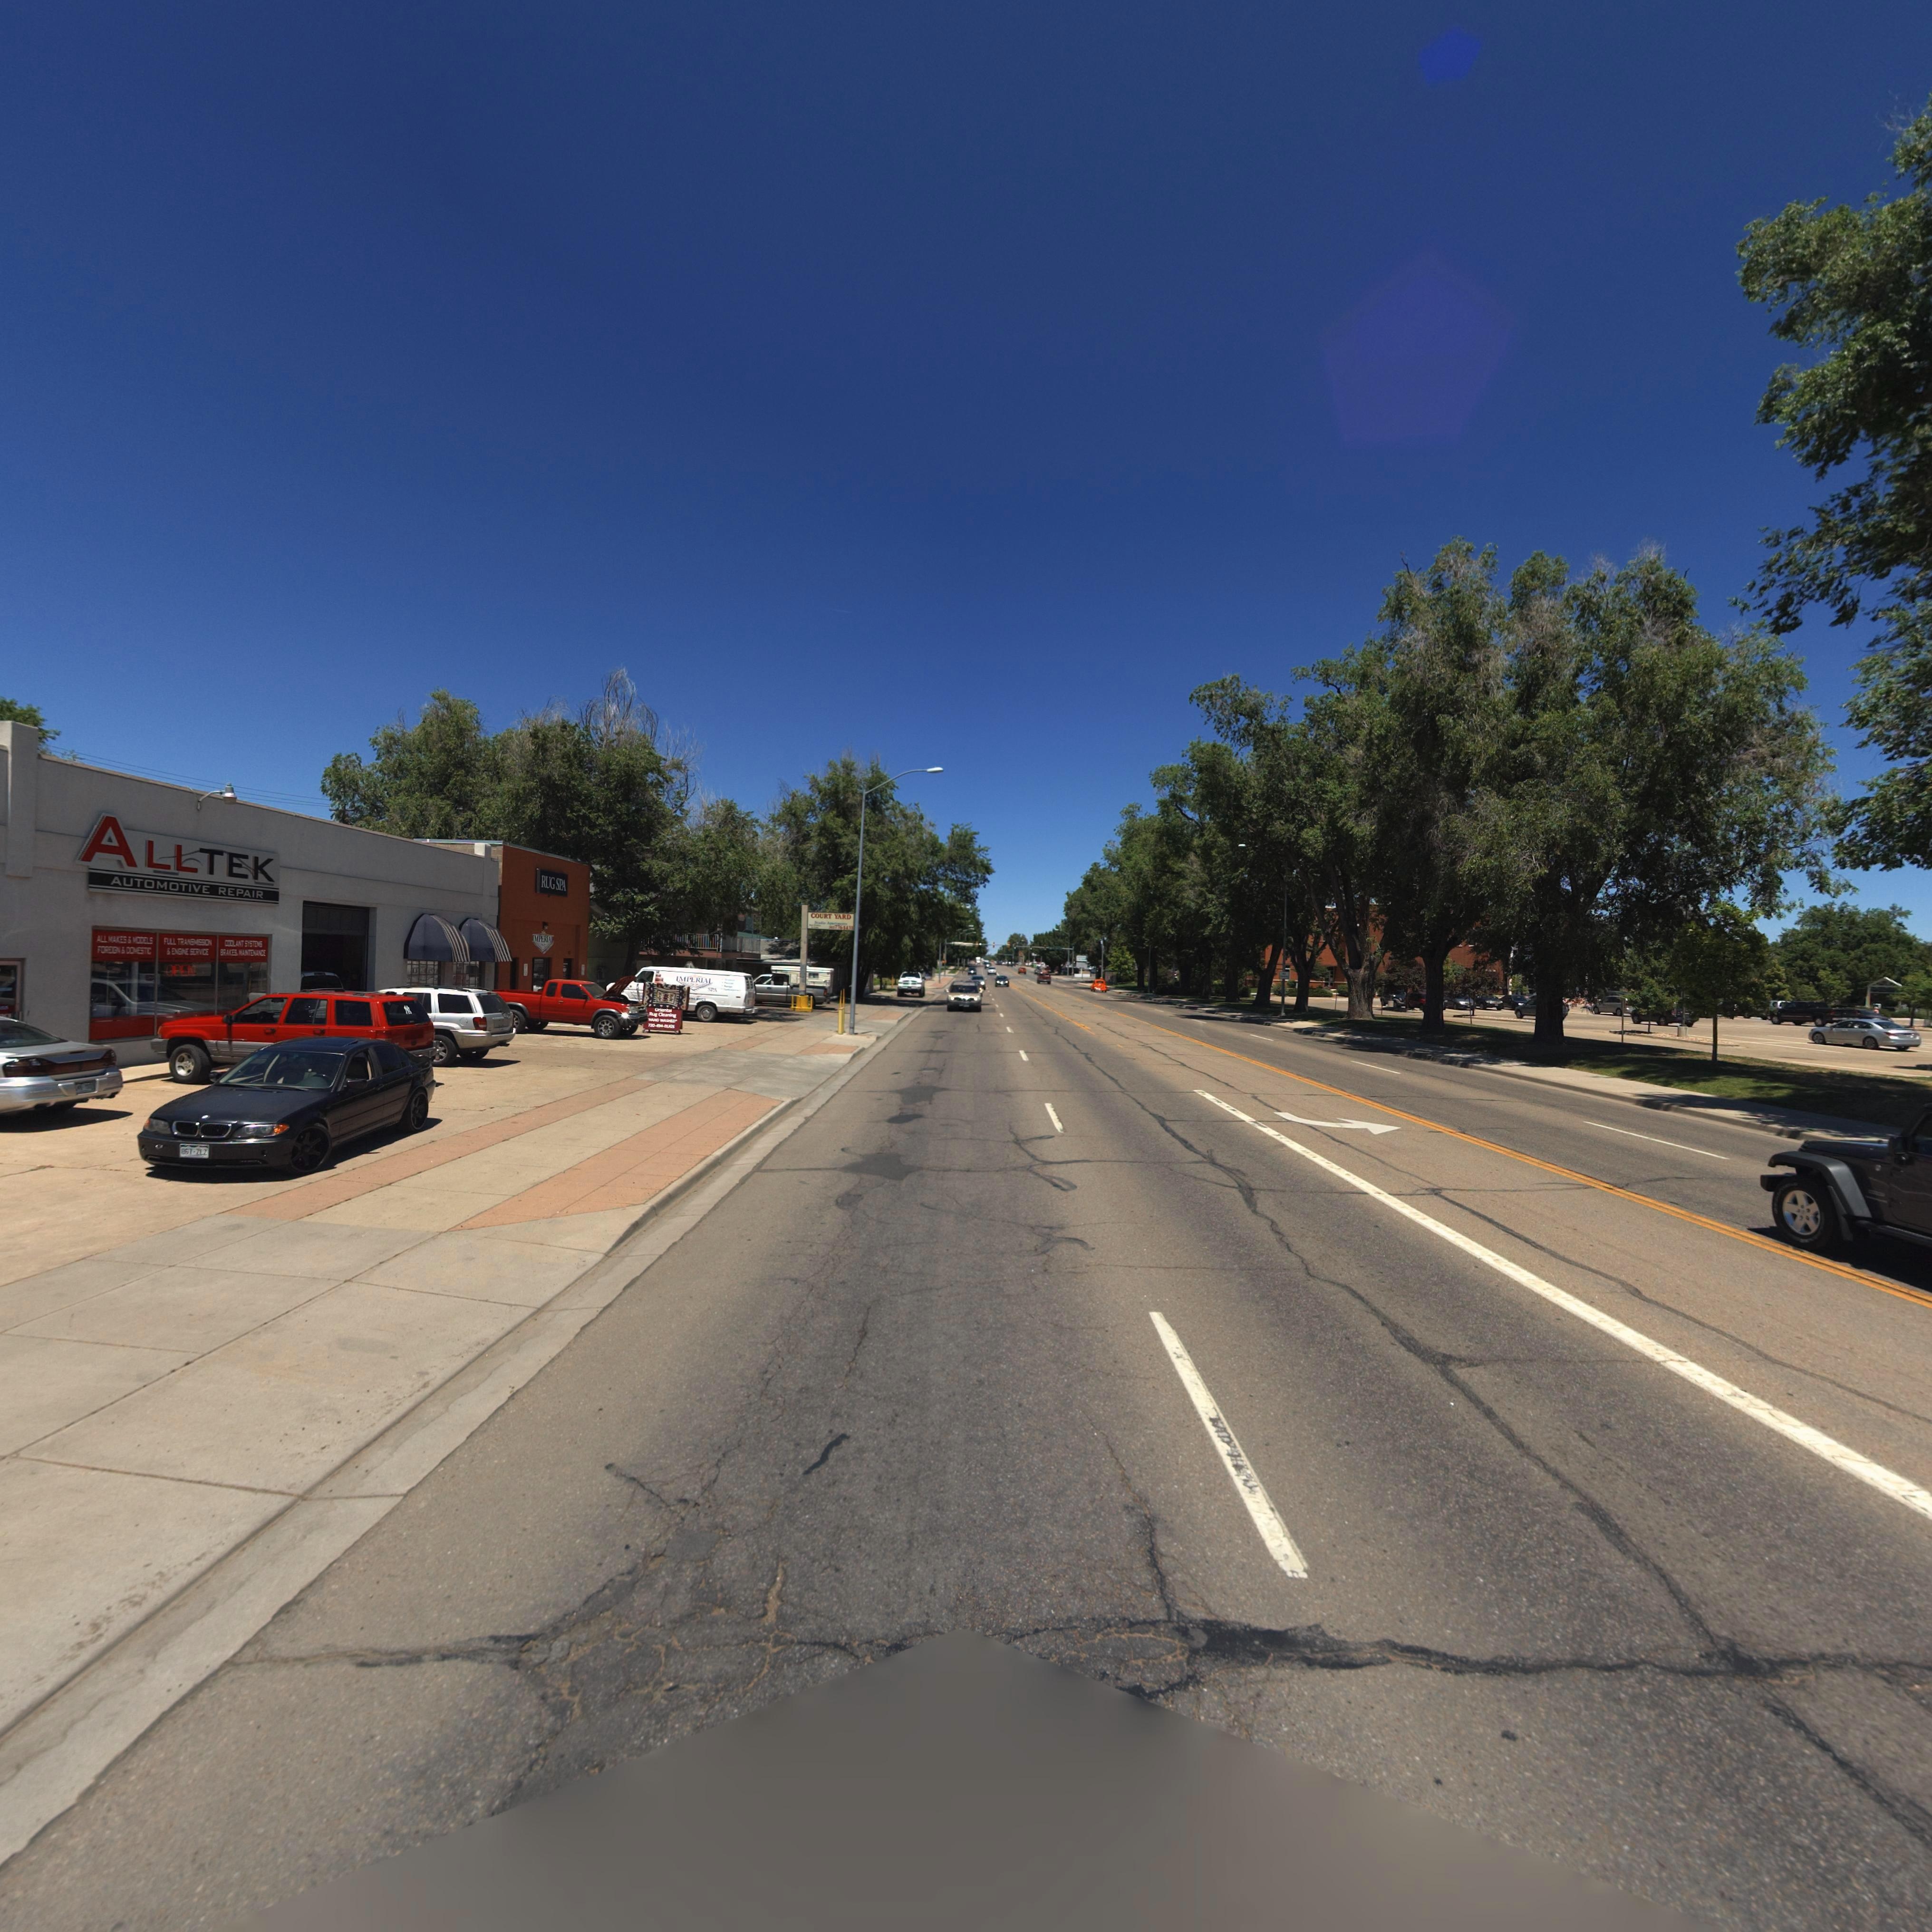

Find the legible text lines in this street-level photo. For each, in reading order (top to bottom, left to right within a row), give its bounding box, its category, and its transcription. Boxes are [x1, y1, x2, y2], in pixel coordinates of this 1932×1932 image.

[78, 812, 275, 884] BusinessName: ALLTEK
[110, 876, 265, 899] BusinessName: AUTOMOTIVE REPAIR
[810, 913, 851, 919] BusinessName: COURT YARD
[814, 921, 847, 926] BusinessName: St***o Apart******
[532, 934, 553, 943] BusinessName: IMPERIAL